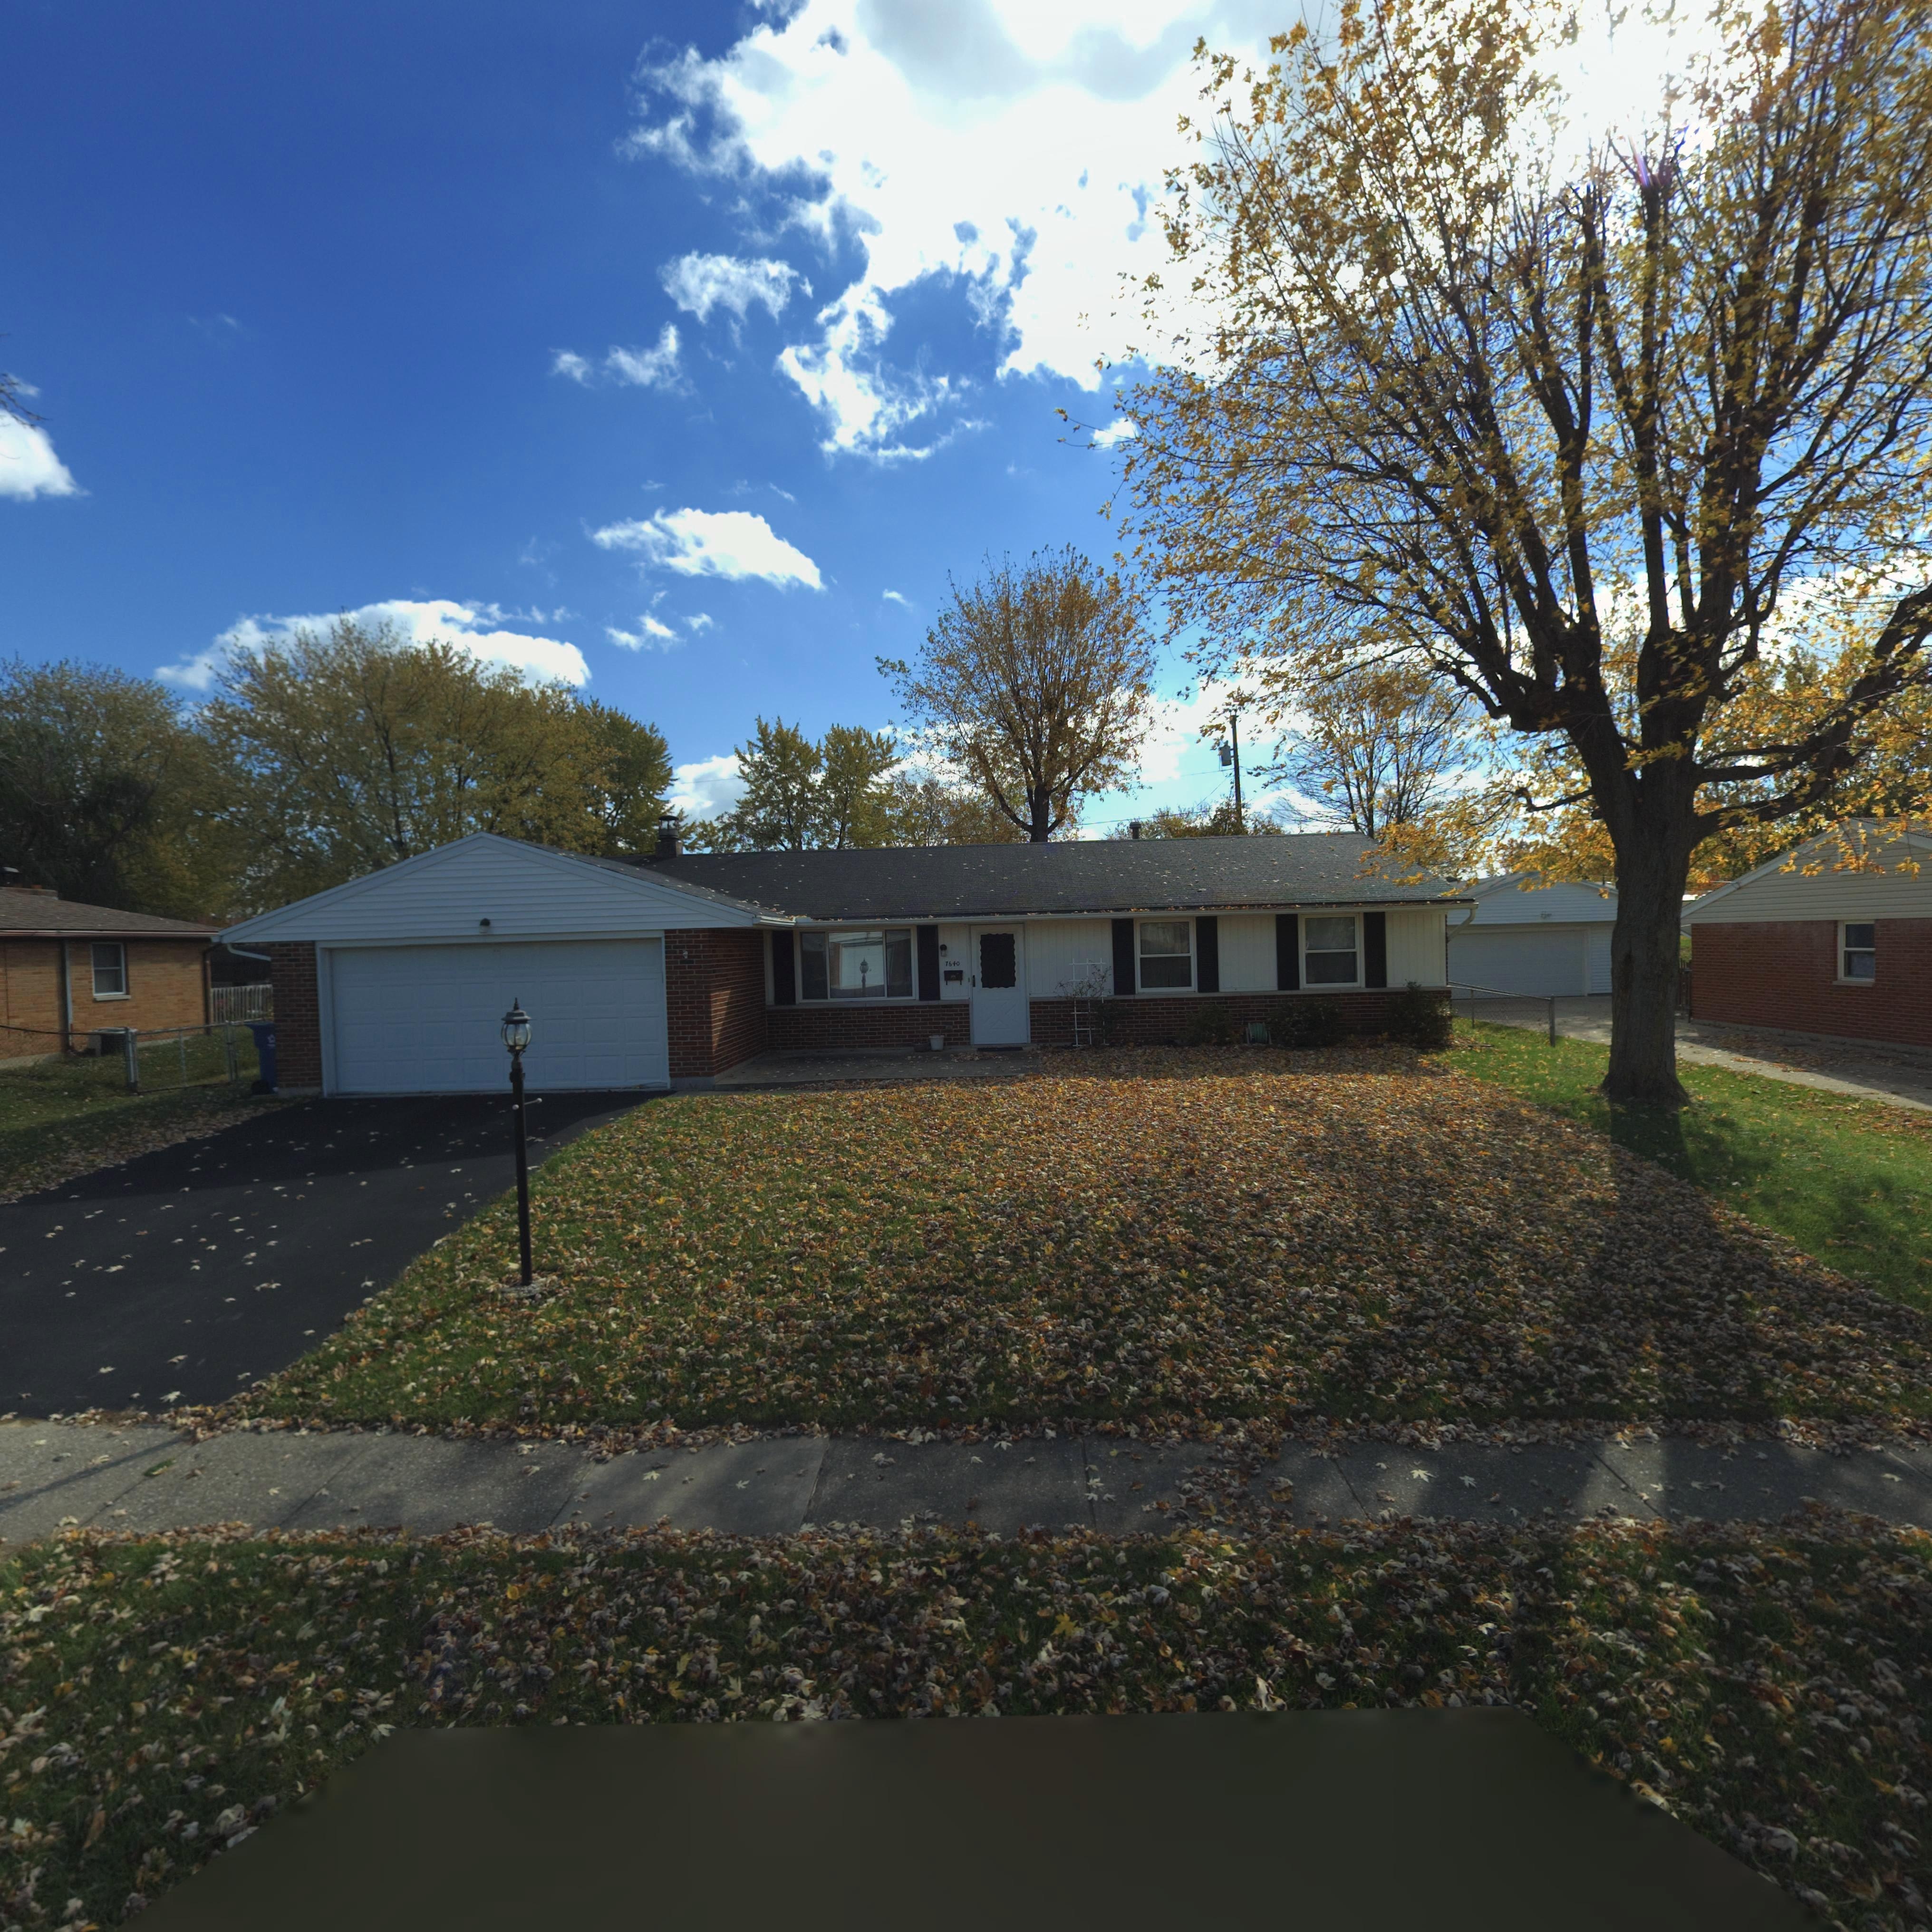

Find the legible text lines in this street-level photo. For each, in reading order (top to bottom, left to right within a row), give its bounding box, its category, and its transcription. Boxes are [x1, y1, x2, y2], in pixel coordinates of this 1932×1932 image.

[945, 961, 960, 966] StreetNumber: 7640